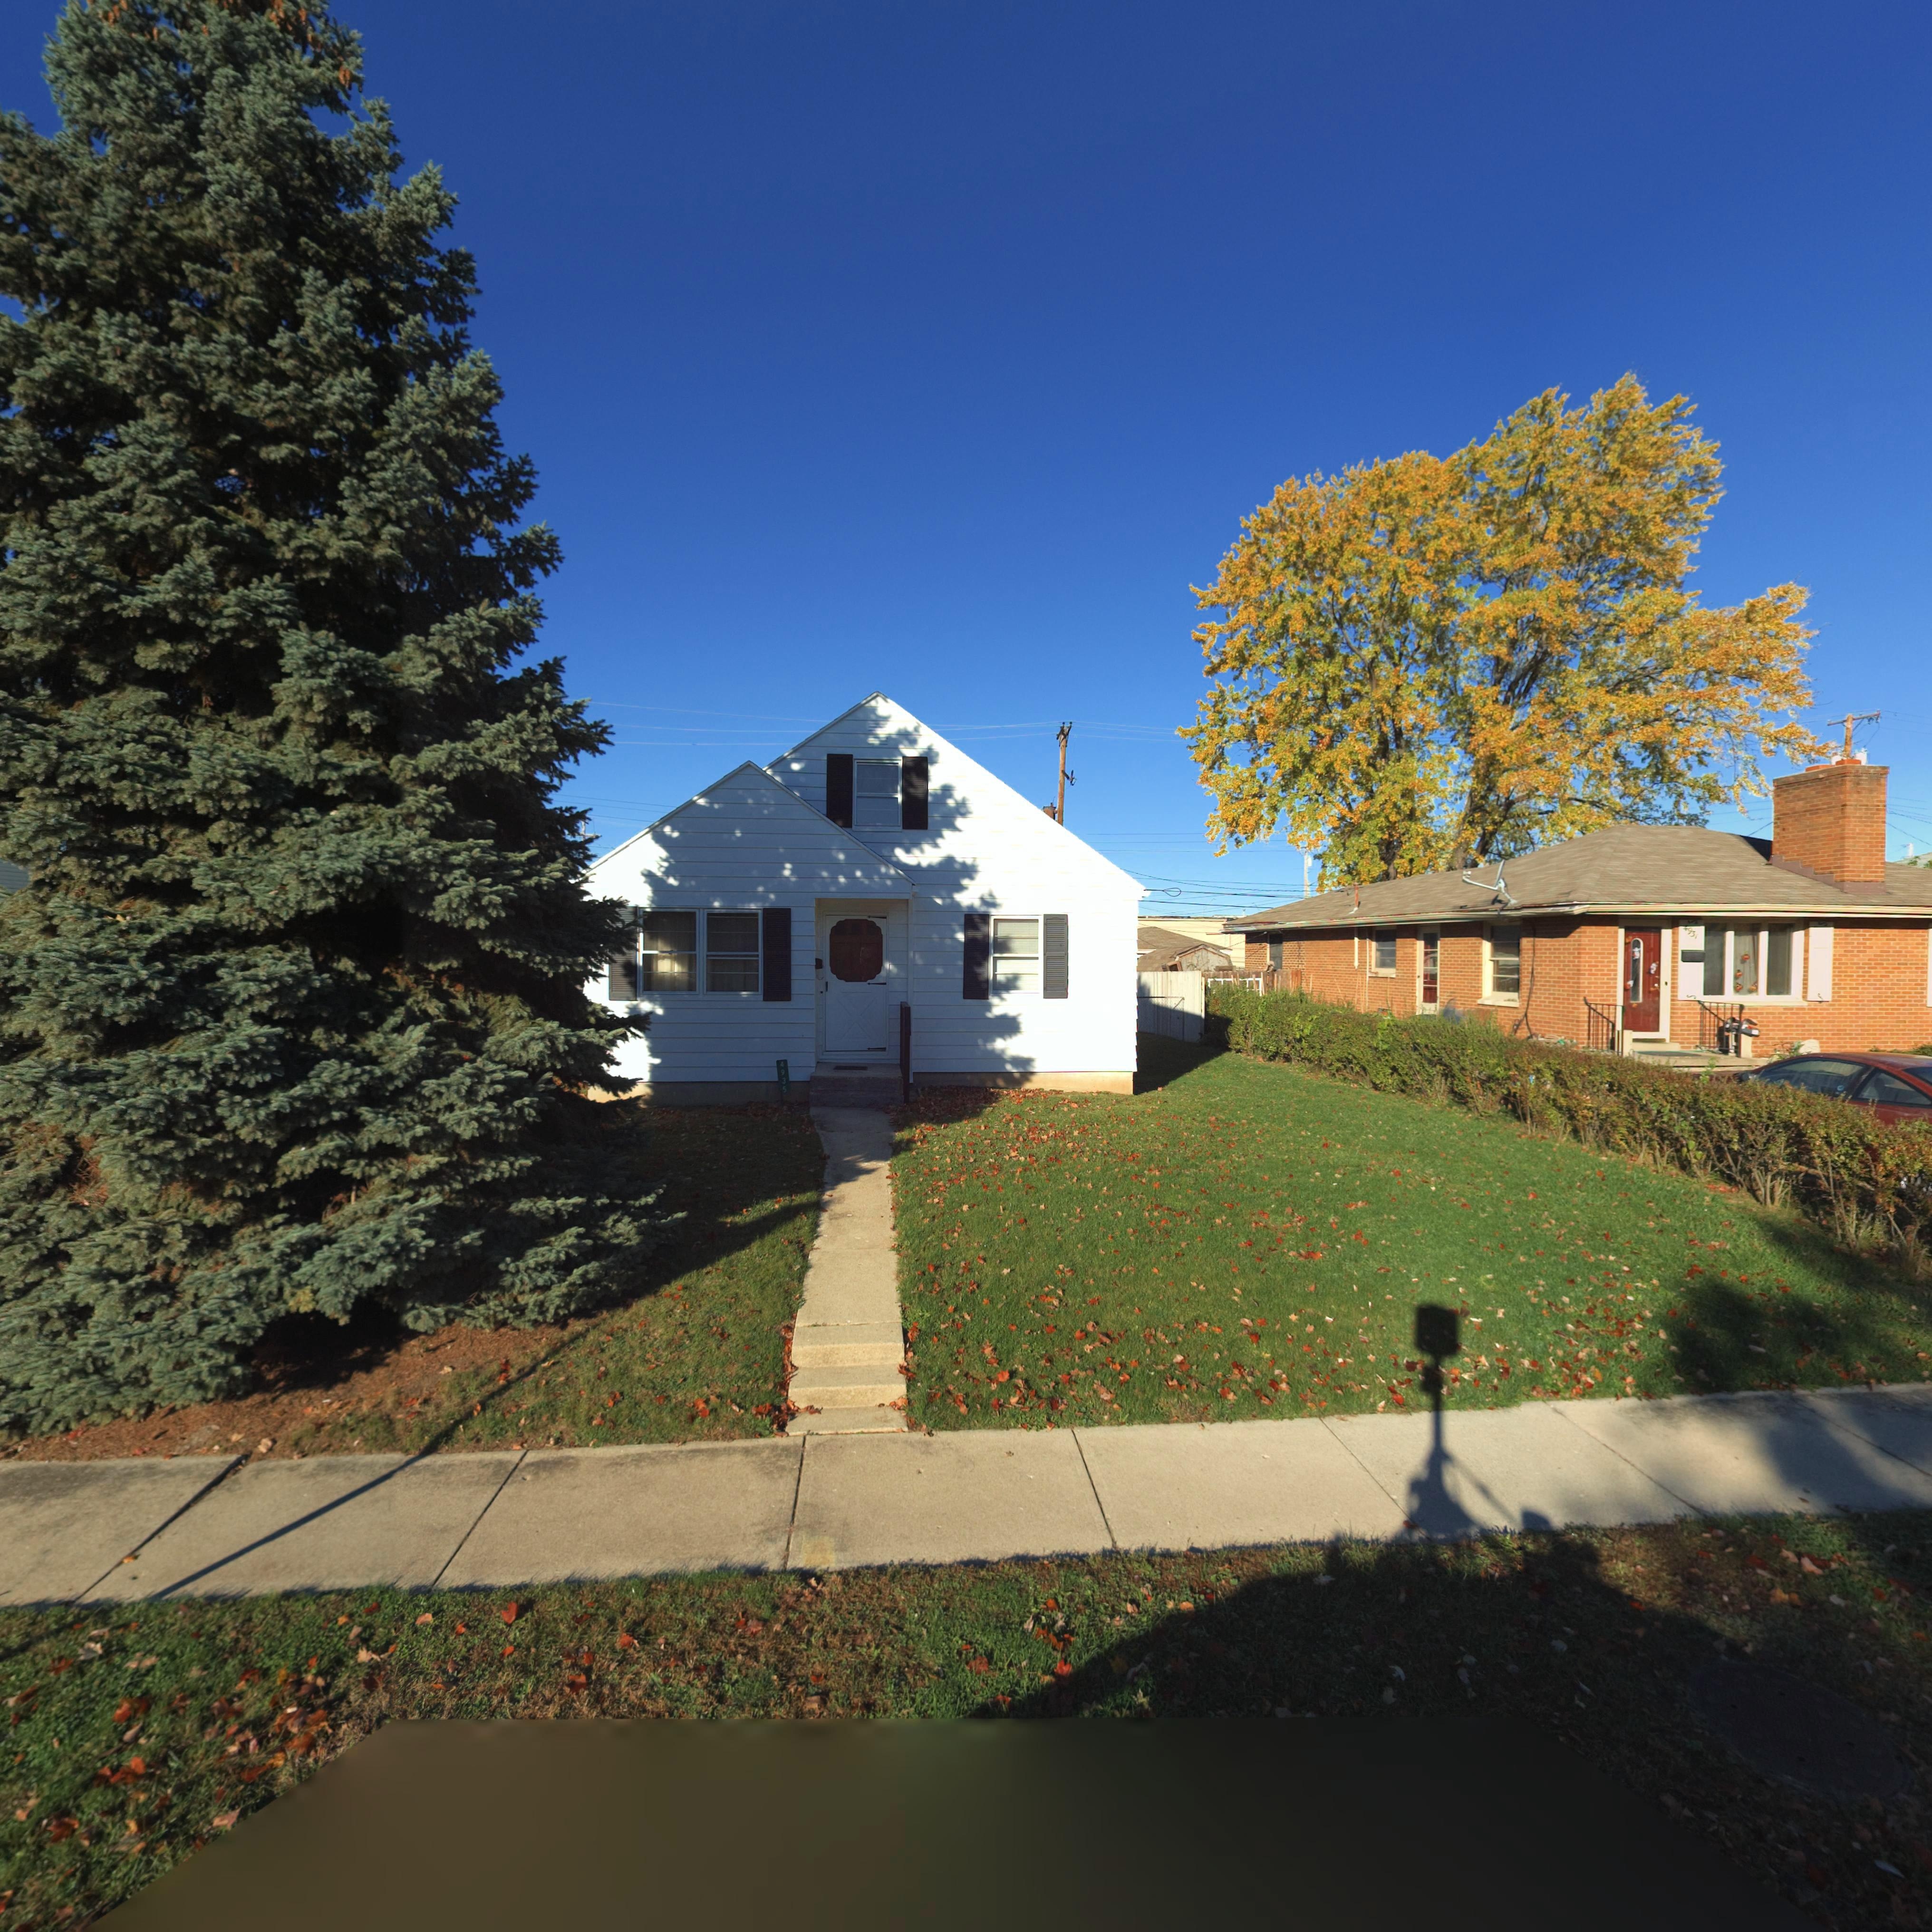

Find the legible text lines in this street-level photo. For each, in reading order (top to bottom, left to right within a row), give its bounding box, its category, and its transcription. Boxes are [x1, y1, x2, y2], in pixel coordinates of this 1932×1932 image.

[1679, 921, 1701, 941] StreetNumber: 4931
[778, 1059, 789, 1094] StreetNumber: 4935